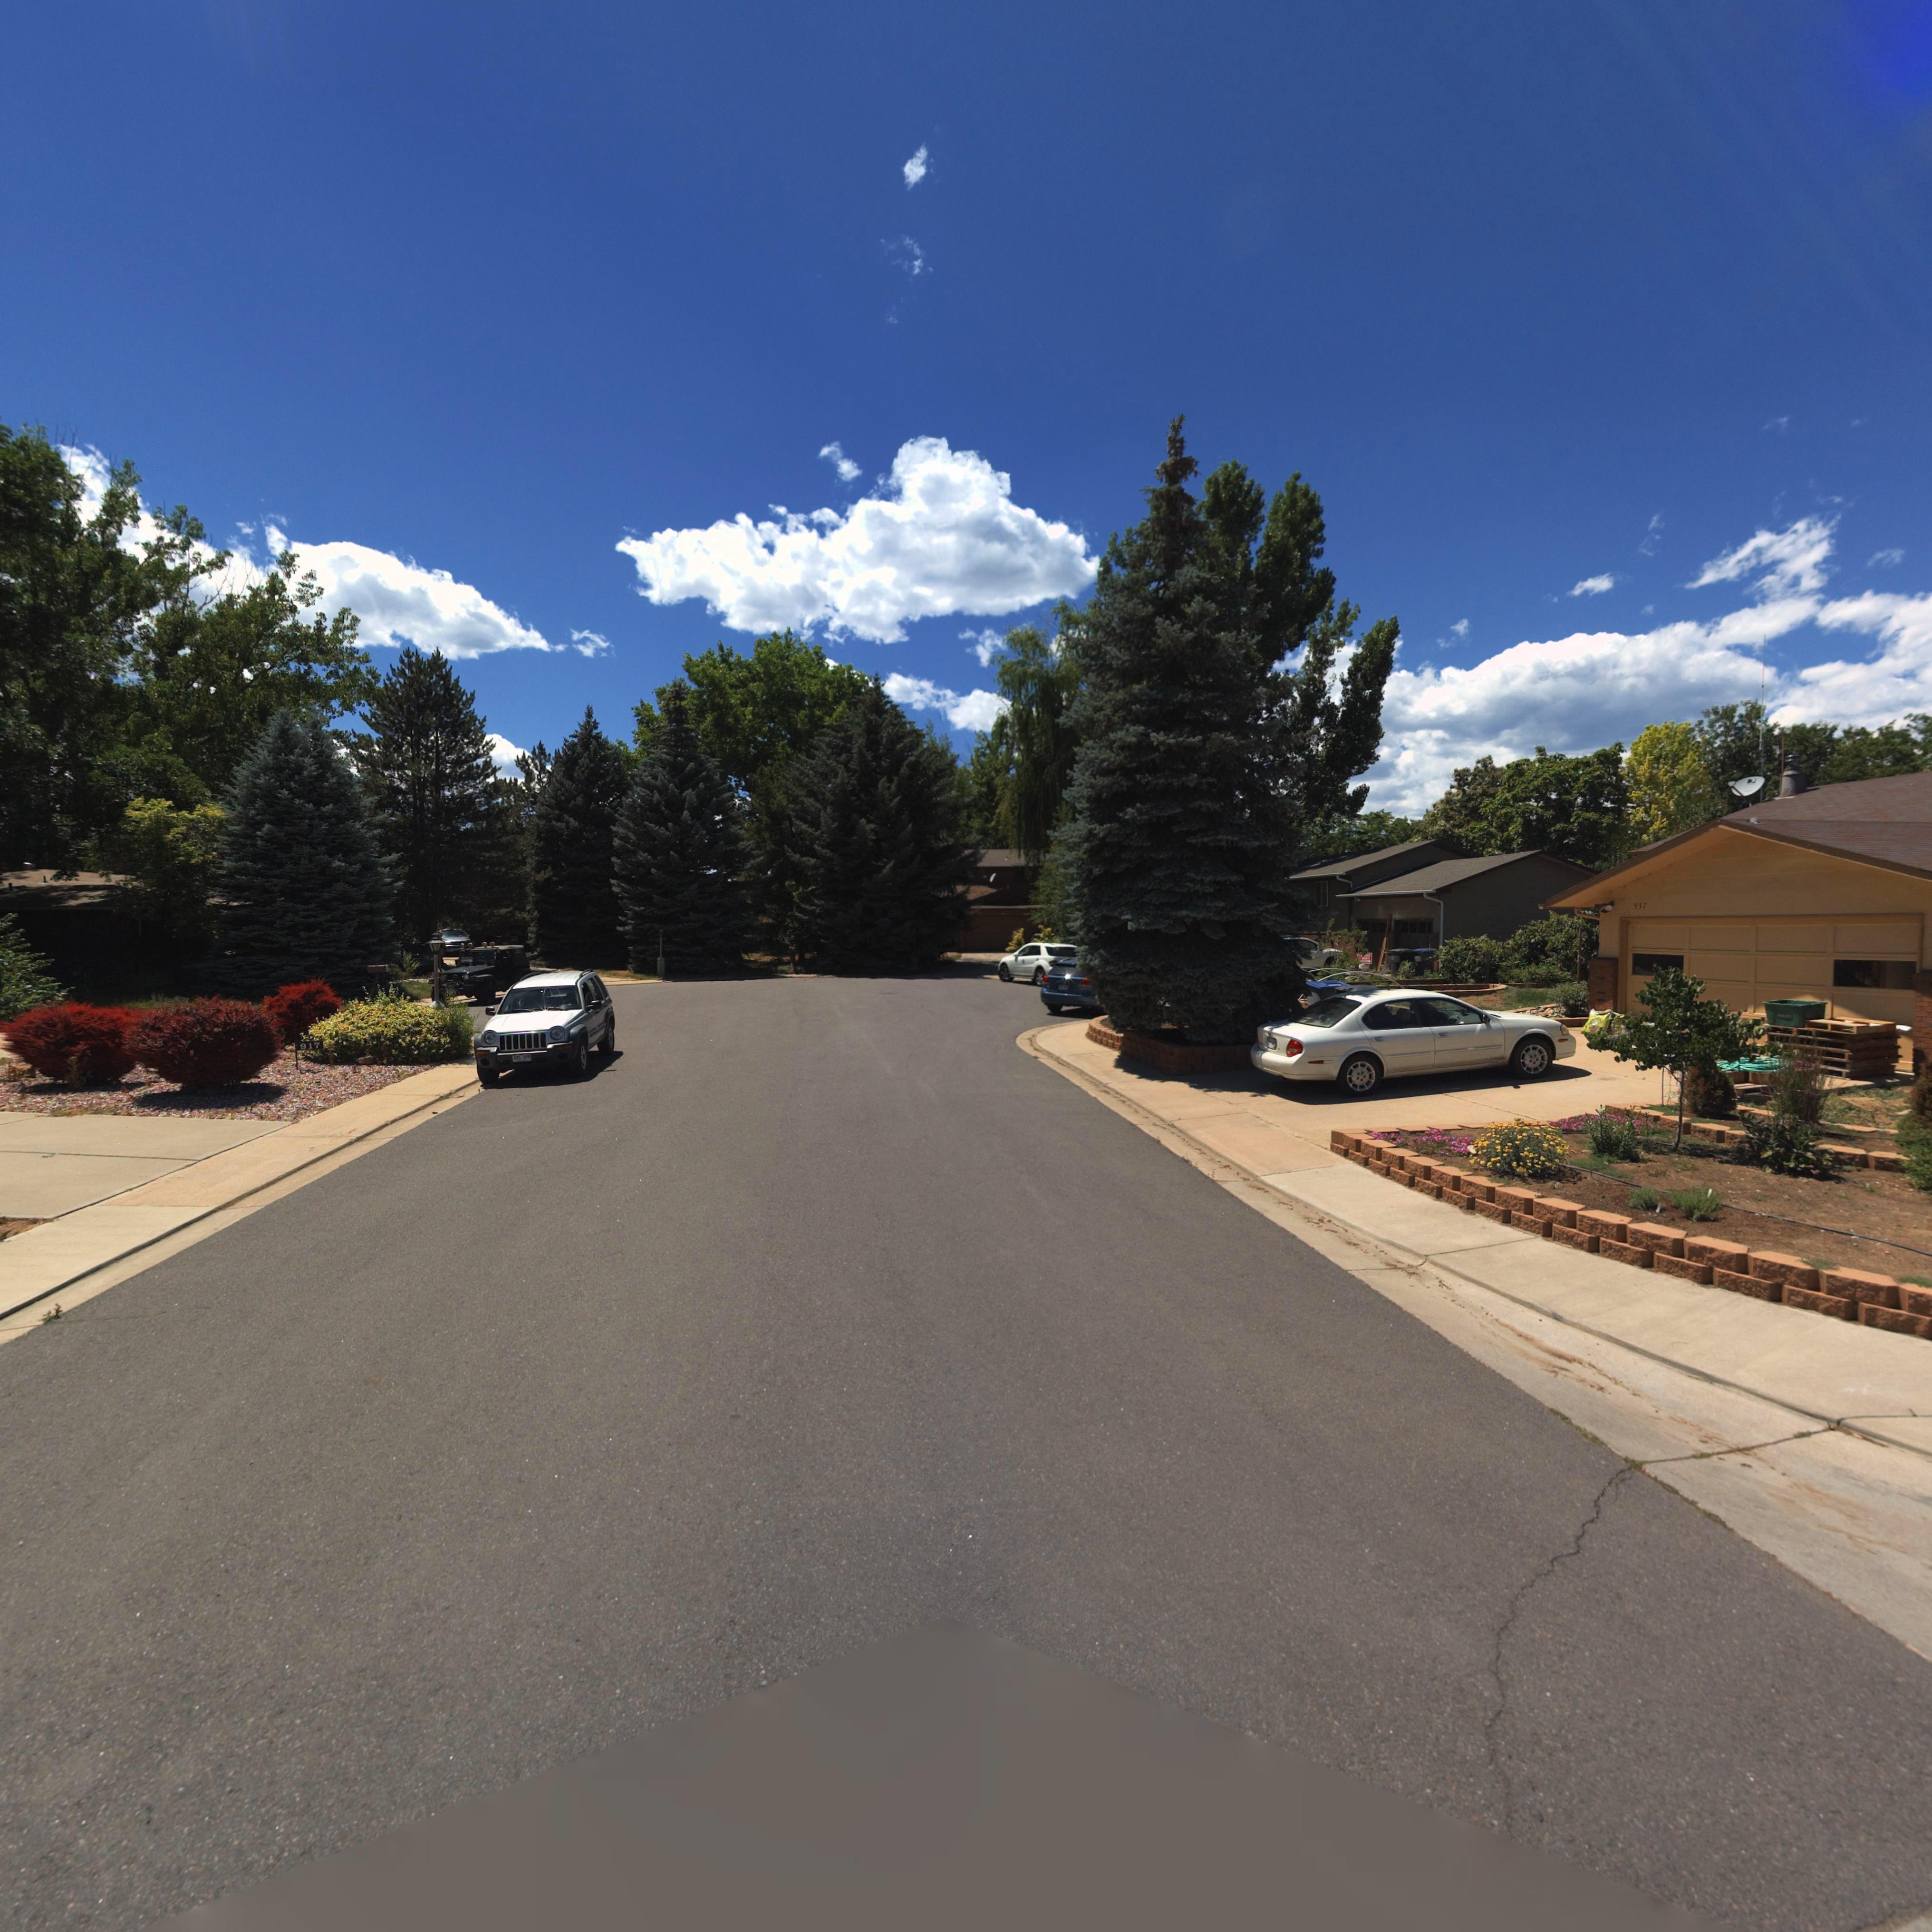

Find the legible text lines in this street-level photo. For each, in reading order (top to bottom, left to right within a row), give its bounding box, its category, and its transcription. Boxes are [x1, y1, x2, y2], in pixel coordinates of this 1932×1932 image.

[1633, 902, 1647, 909] StreetNumber: 937
[299, 1042, 320, 1050] StreetNumber: 917